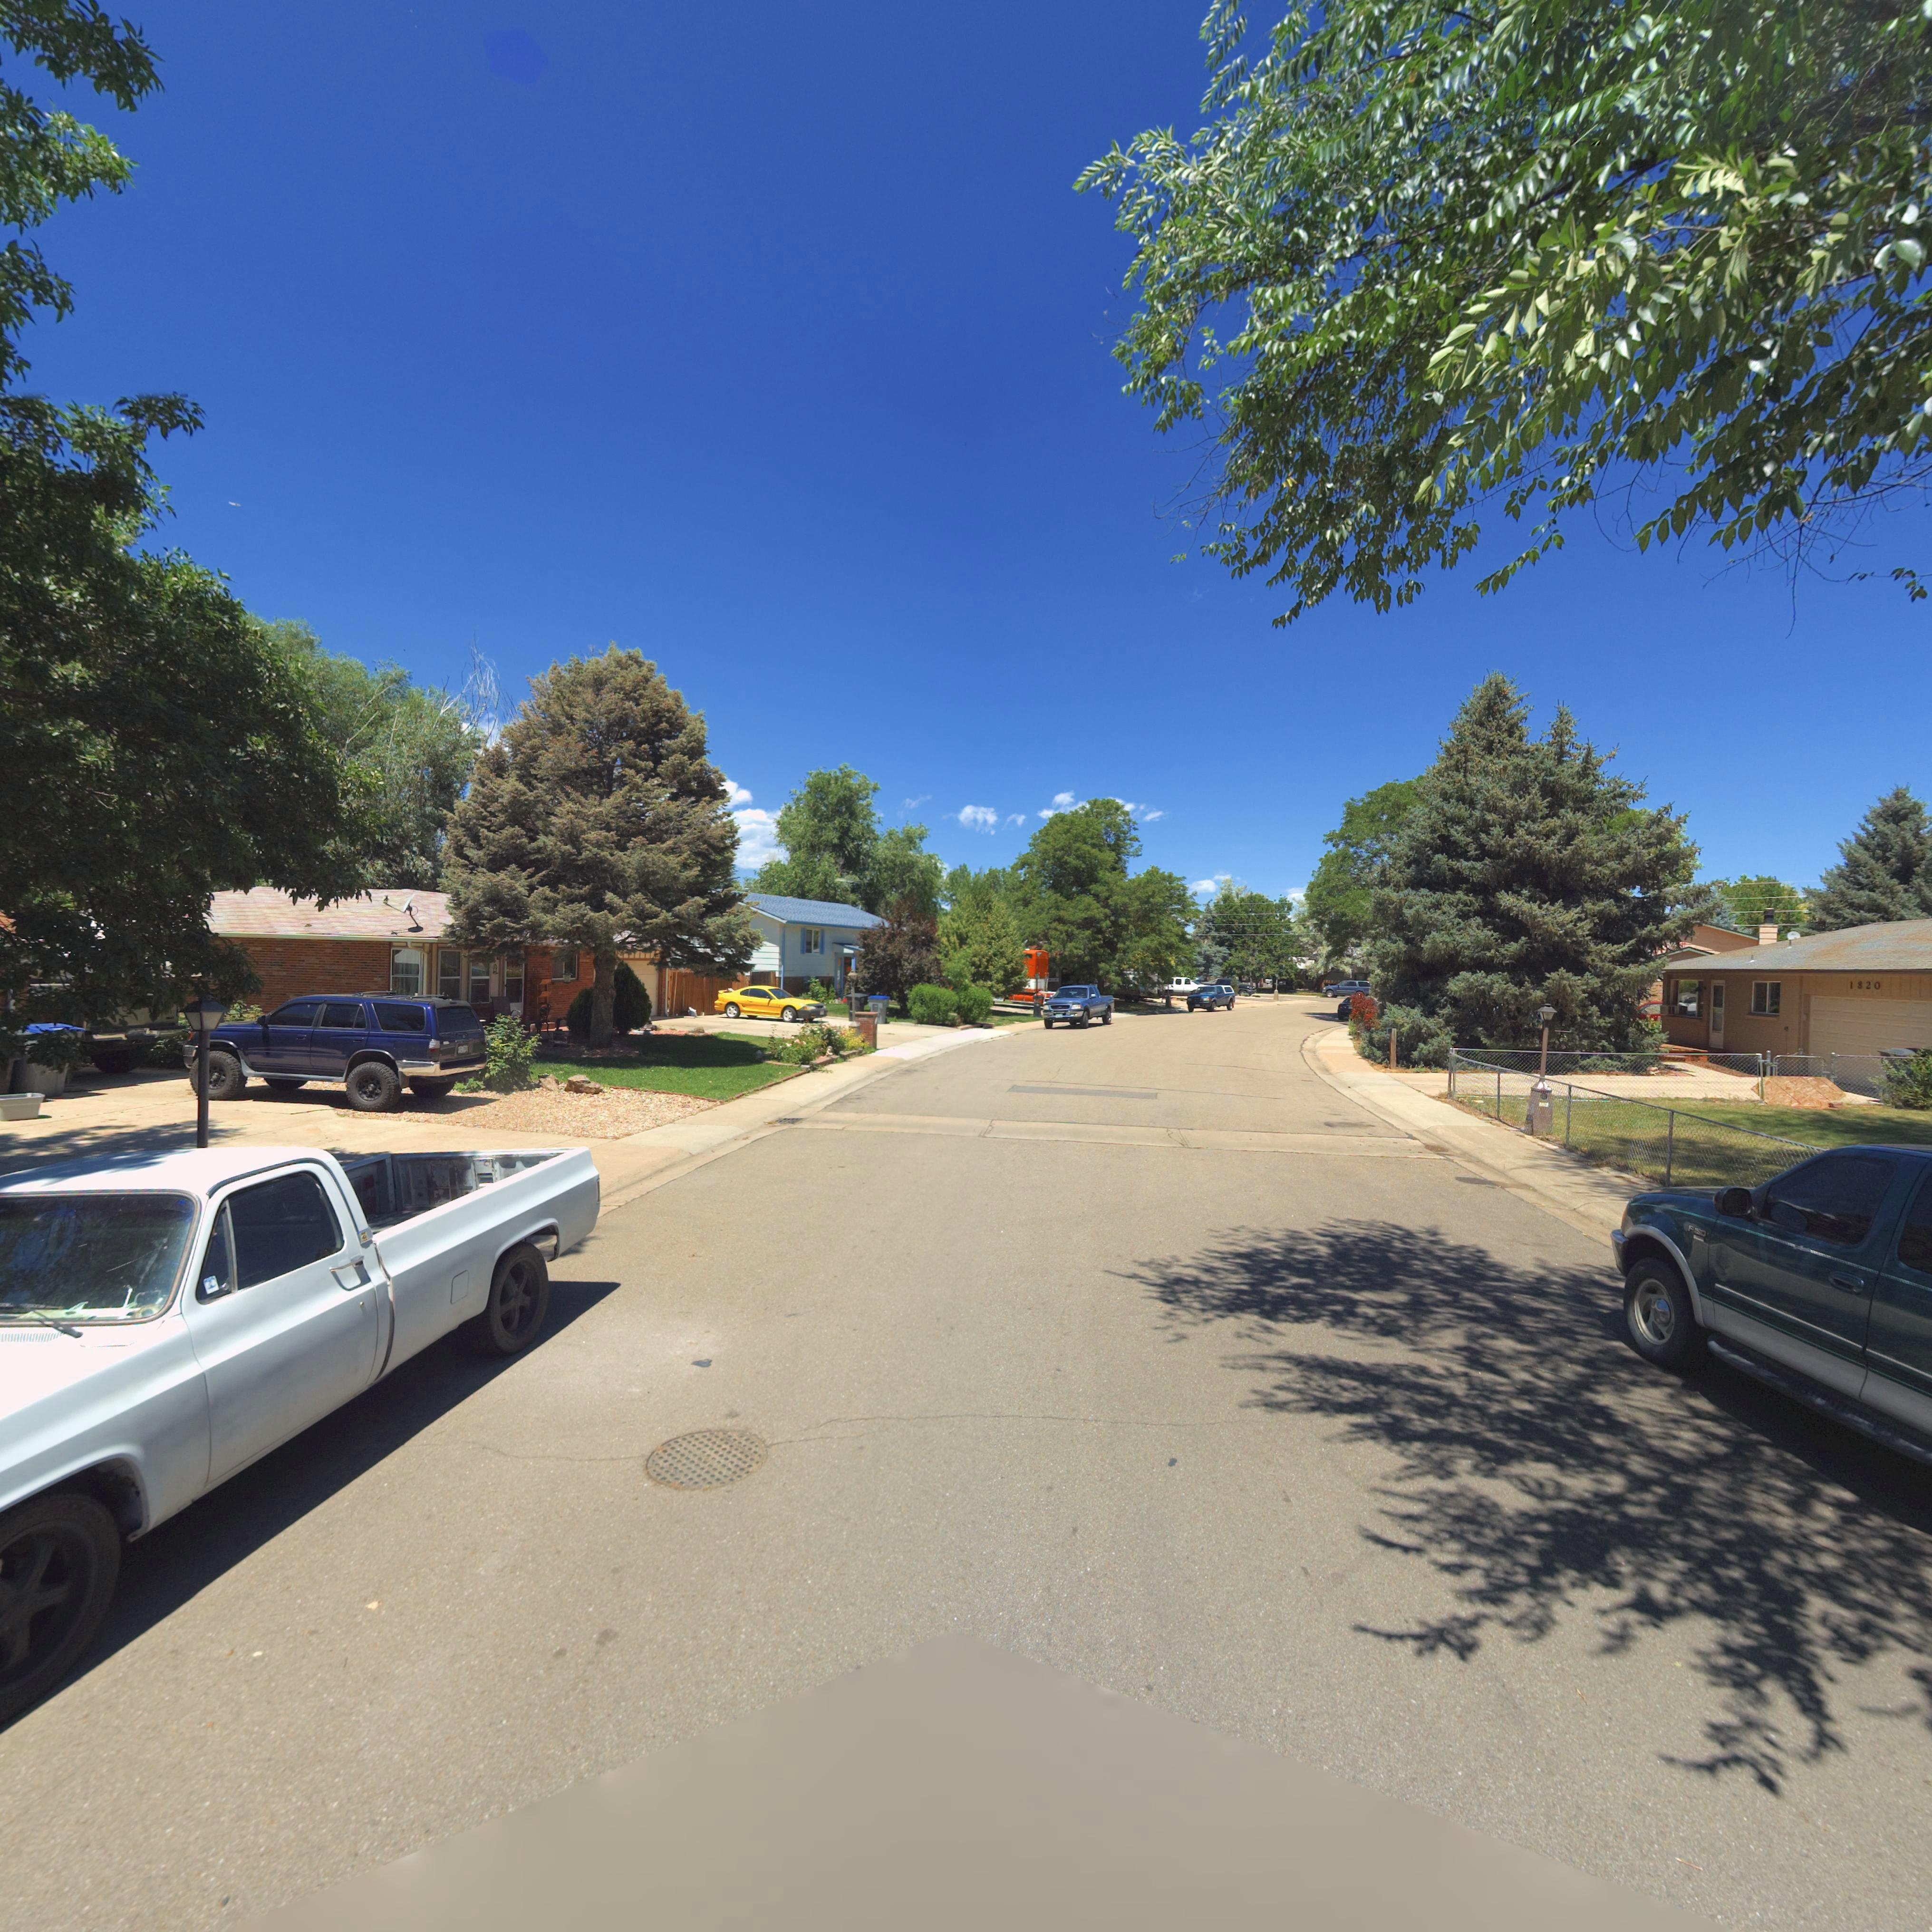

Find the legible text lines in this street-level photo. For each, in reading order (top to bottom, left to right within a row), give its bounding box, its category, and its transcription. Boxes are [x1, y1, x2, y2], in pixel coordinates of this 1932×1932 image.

[1849, 981, 1880, 989] StreetNumber: 1820